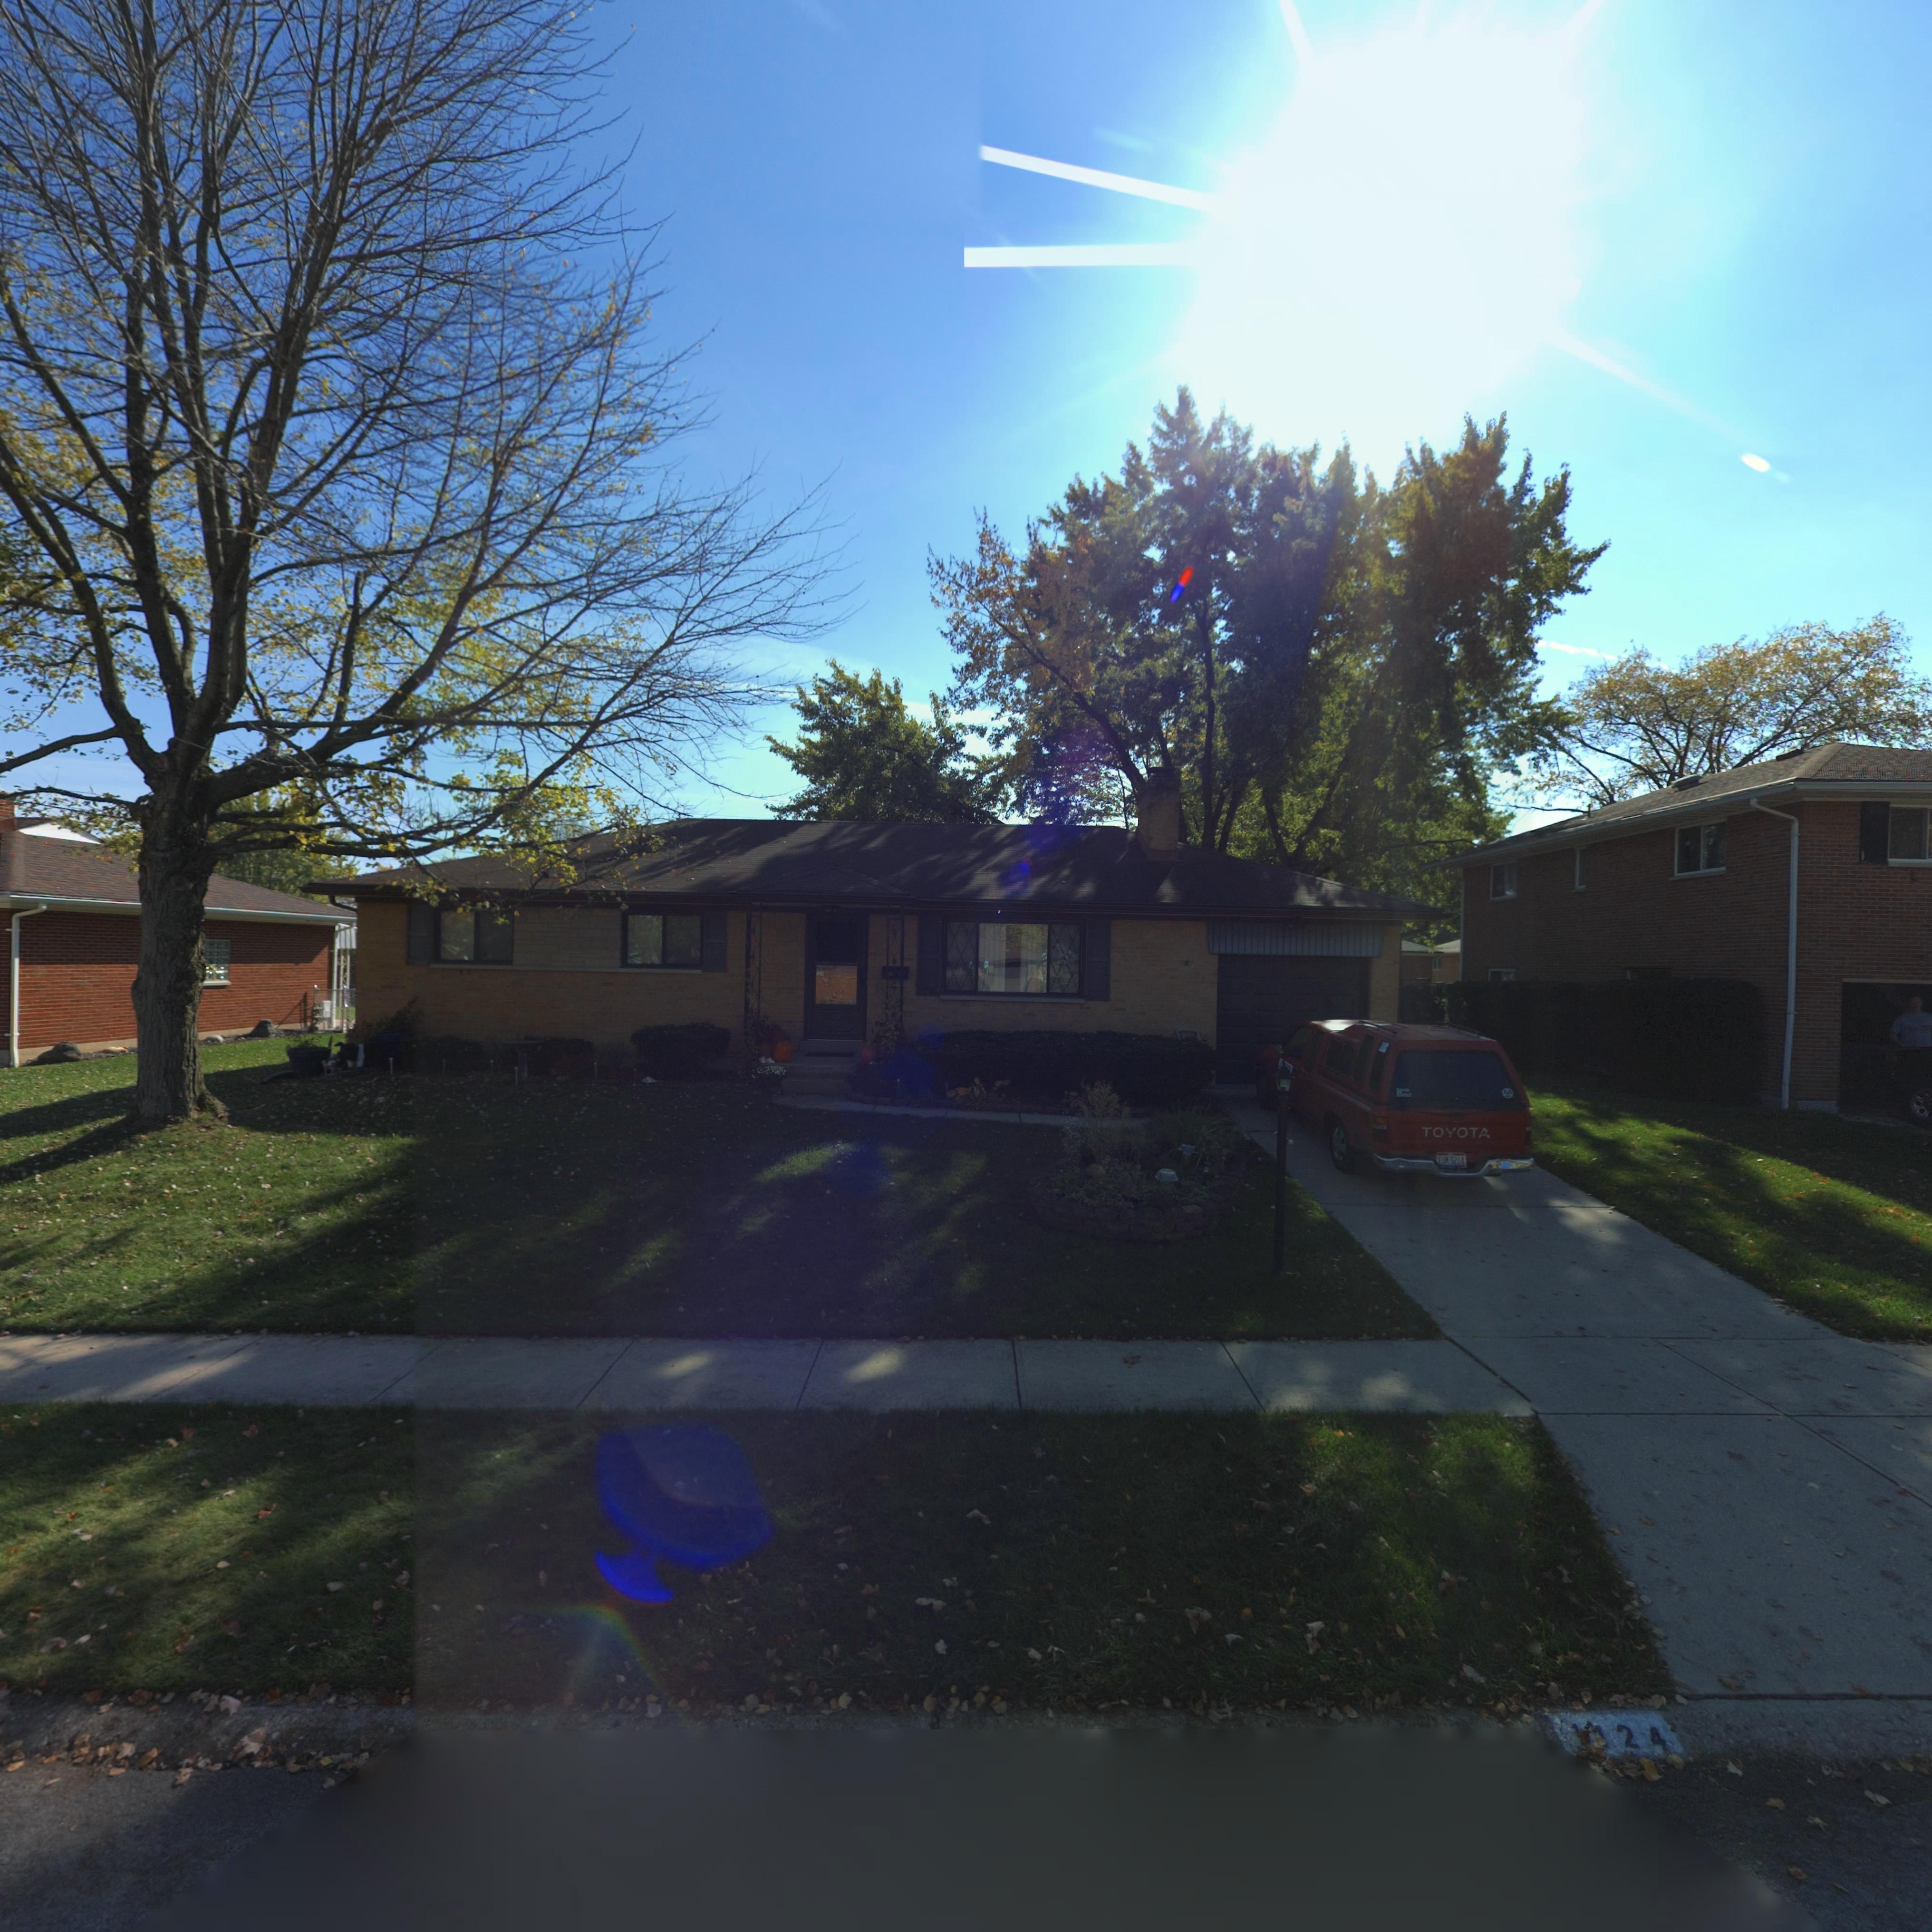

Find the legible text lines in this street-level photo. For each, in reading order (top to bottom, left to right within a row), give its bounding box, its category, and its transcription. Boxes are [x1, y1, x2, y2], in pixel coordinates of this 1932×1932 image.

[1421, 1126, 1492, 1140] None: TOYOTA
[1449, 1155, 1466, 1166] None: 5214
[1568, 1721, 1674, 1754] StreetNumber: 1*24